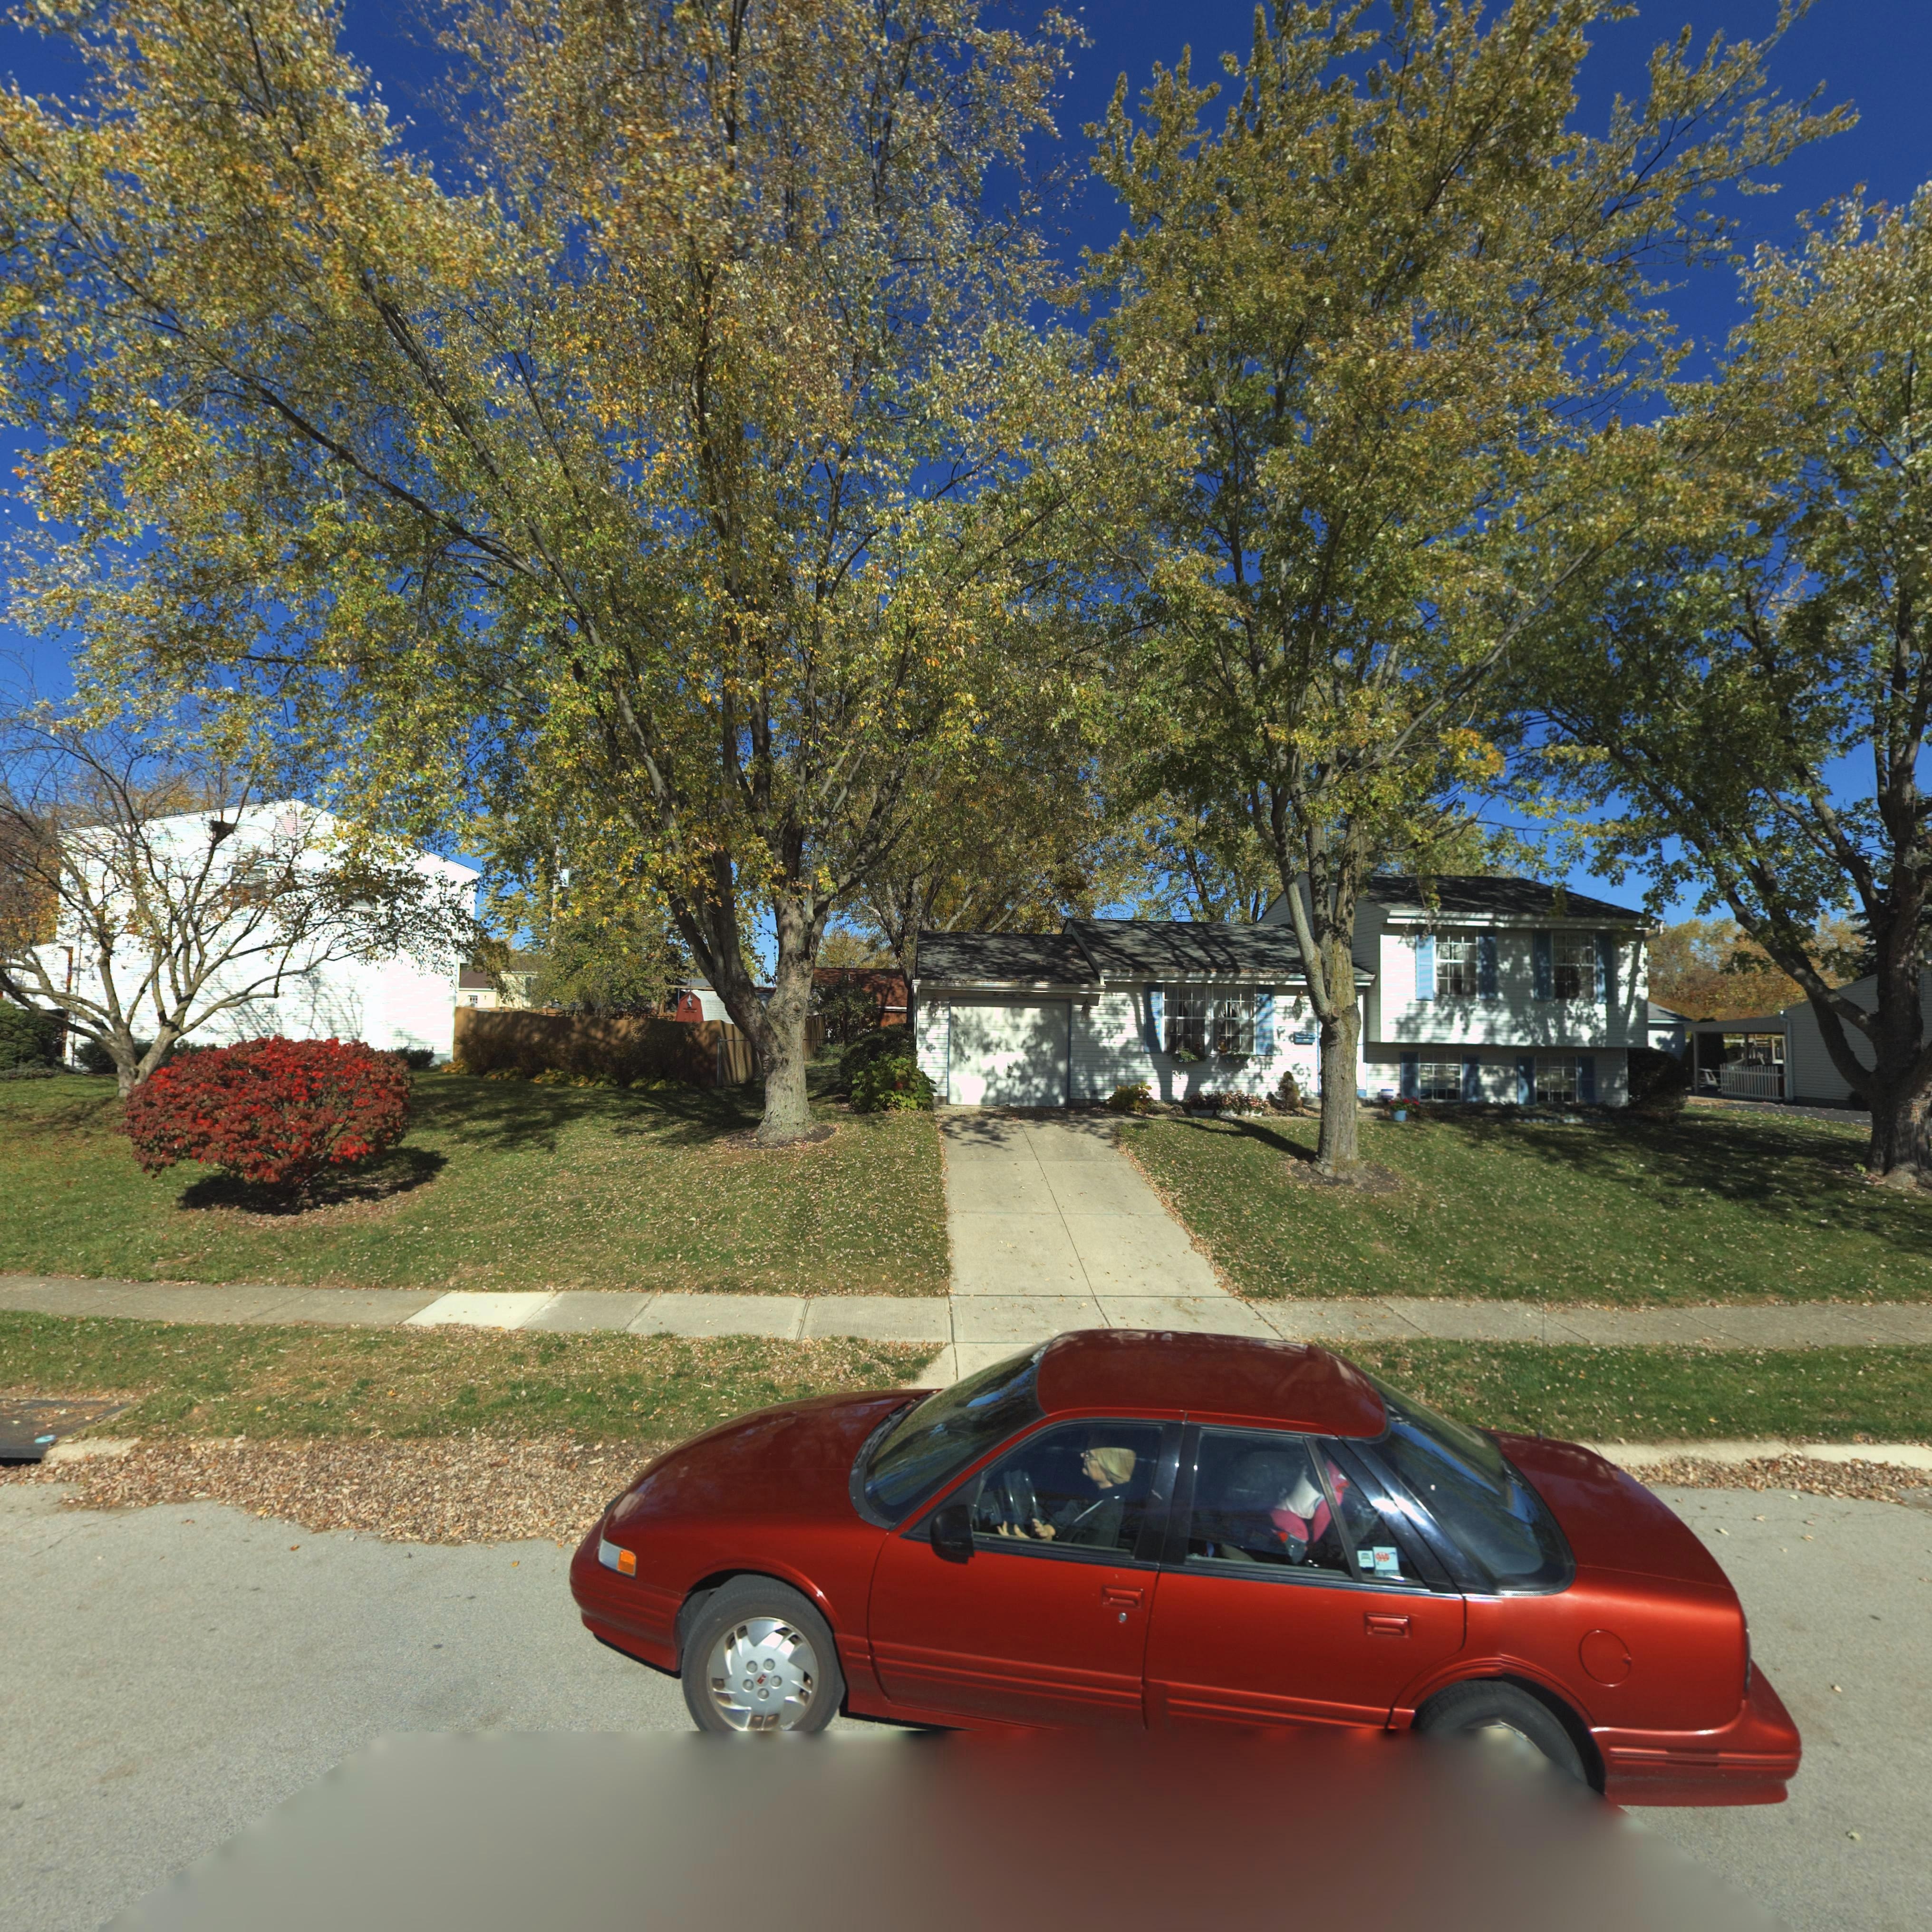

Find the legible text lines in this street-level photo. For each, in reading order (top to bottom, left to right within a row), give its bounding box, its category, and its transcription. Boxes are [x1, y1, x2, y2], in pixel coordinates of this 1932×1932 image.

[992, 992, 997, 996] StreetNumber: T
[1018, 992, 1024, 997] StreetNumber: N